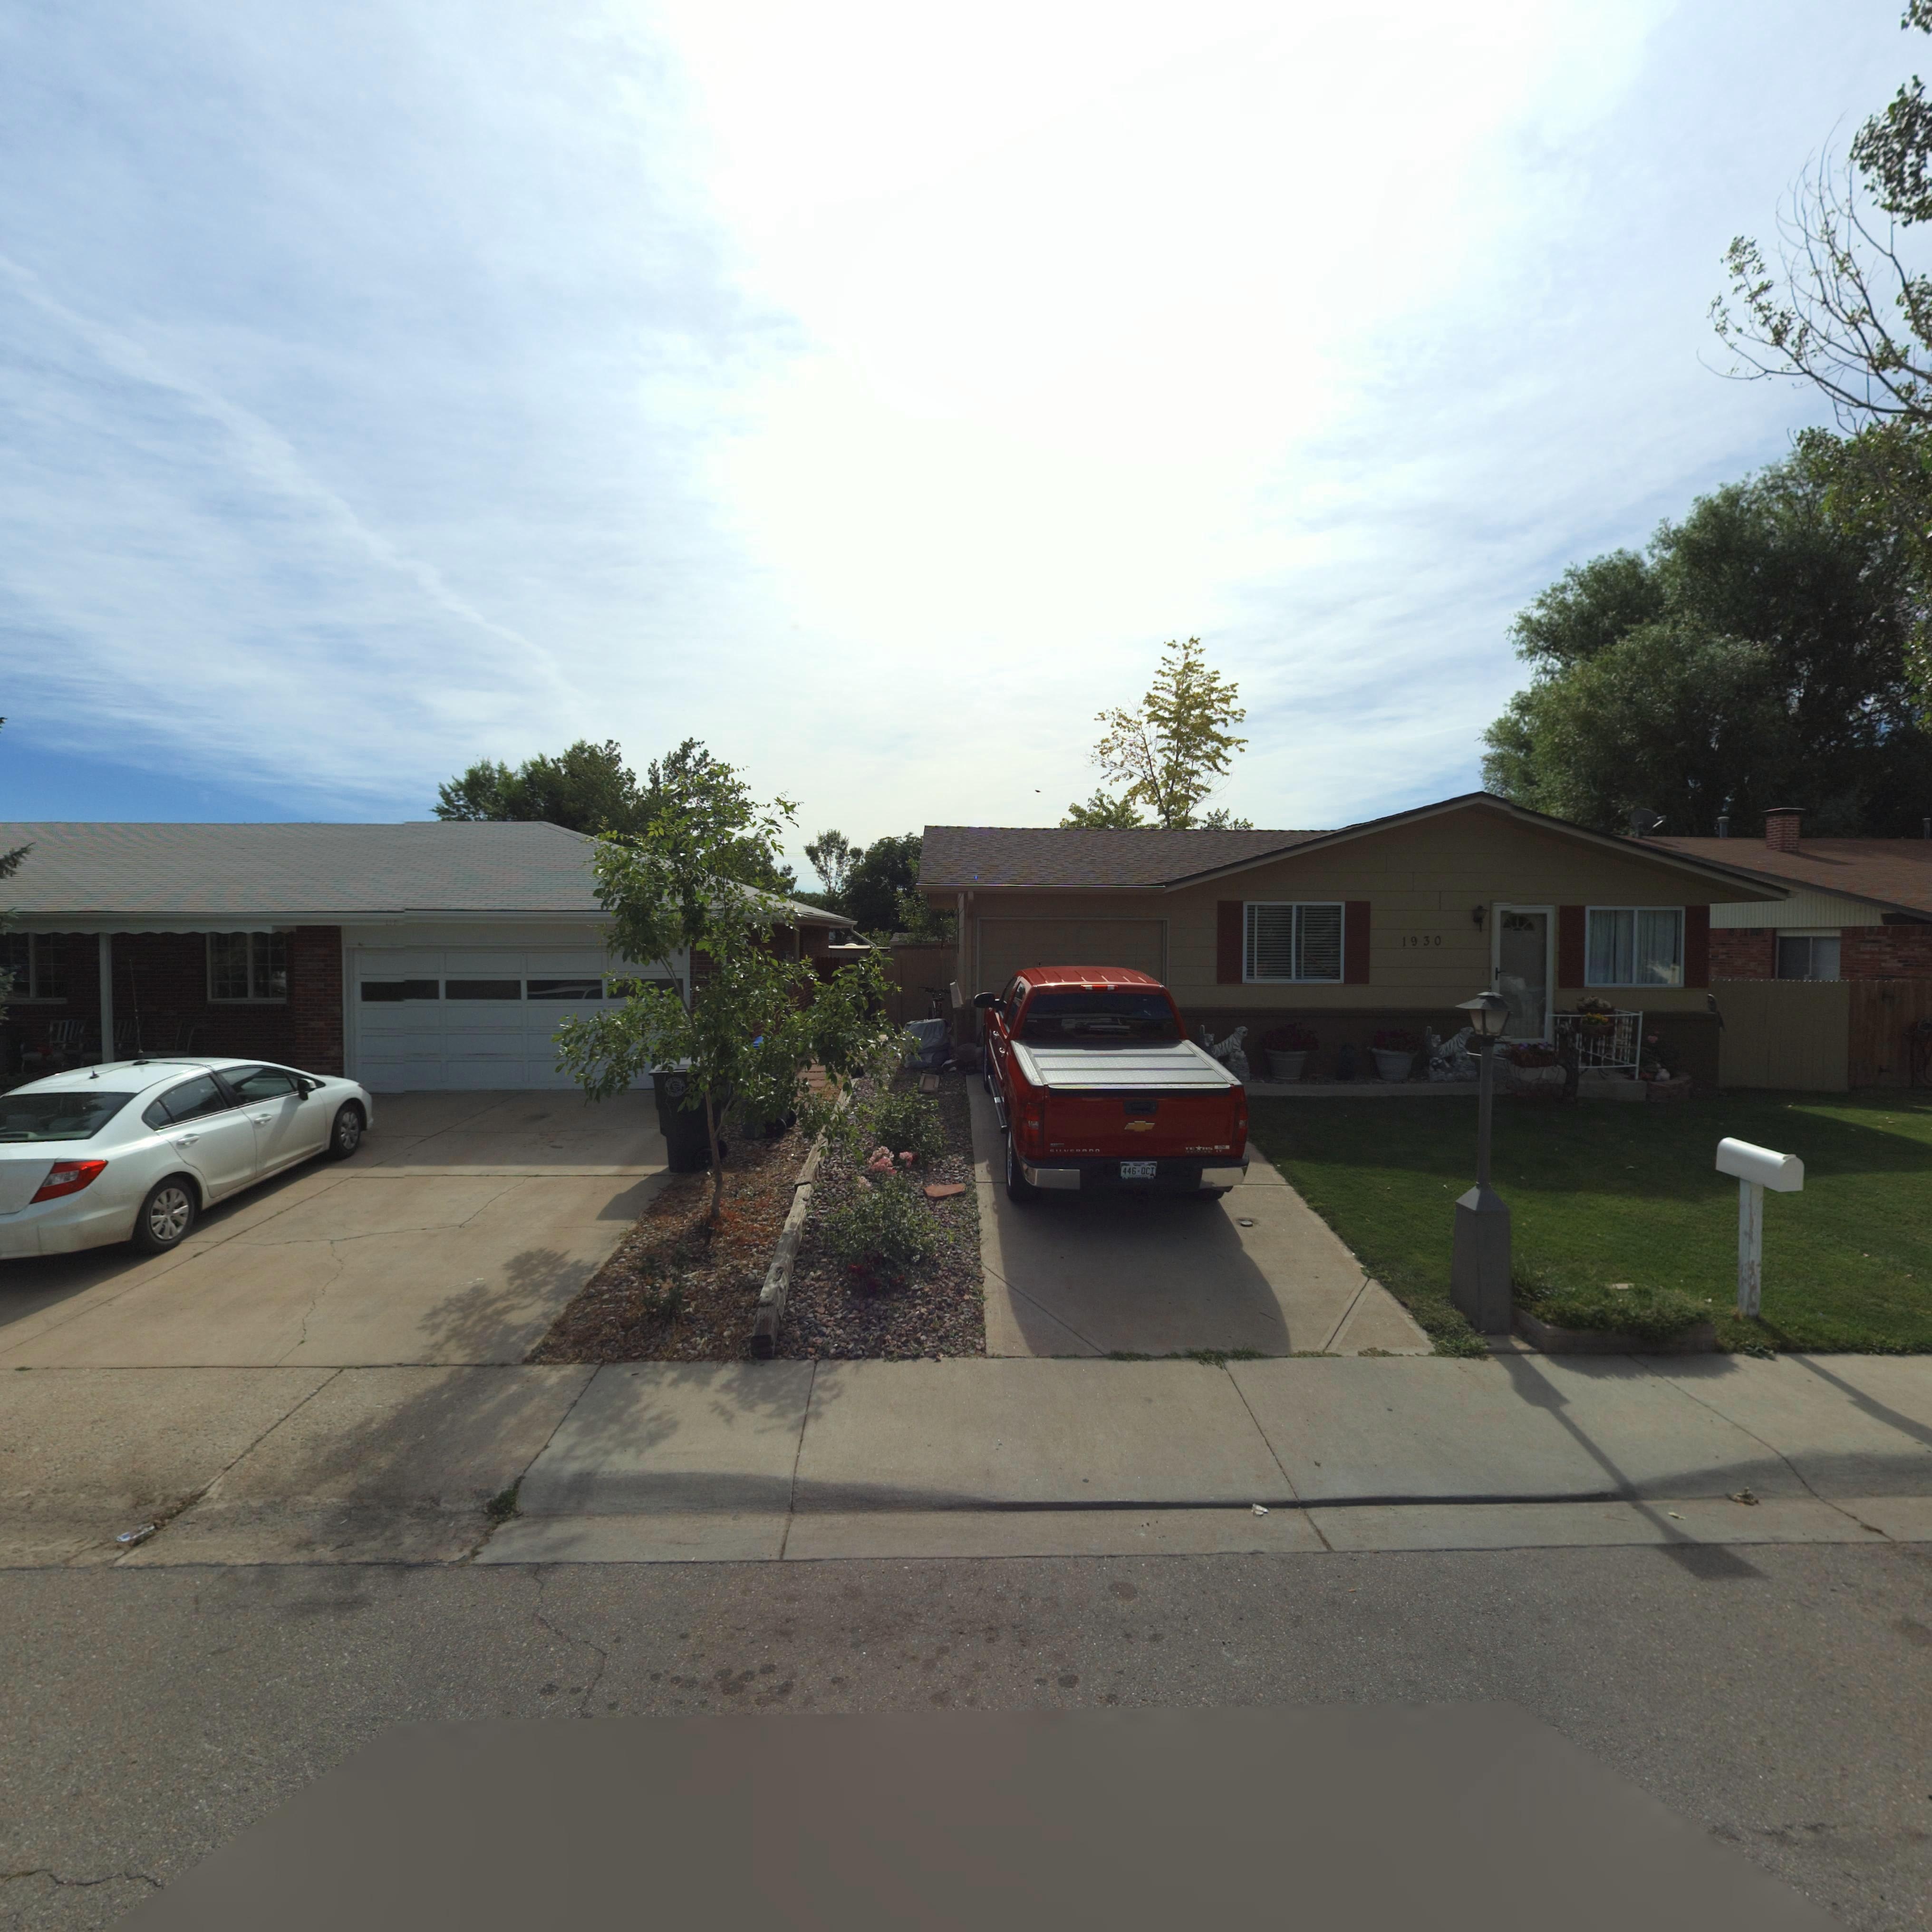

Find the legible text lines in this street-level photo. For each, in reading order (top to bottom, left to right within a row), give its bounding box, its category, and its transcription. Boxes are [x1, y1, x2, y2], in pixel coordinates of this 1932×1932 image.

[1402, 934, 1442, 947] StreetNumber: 1930